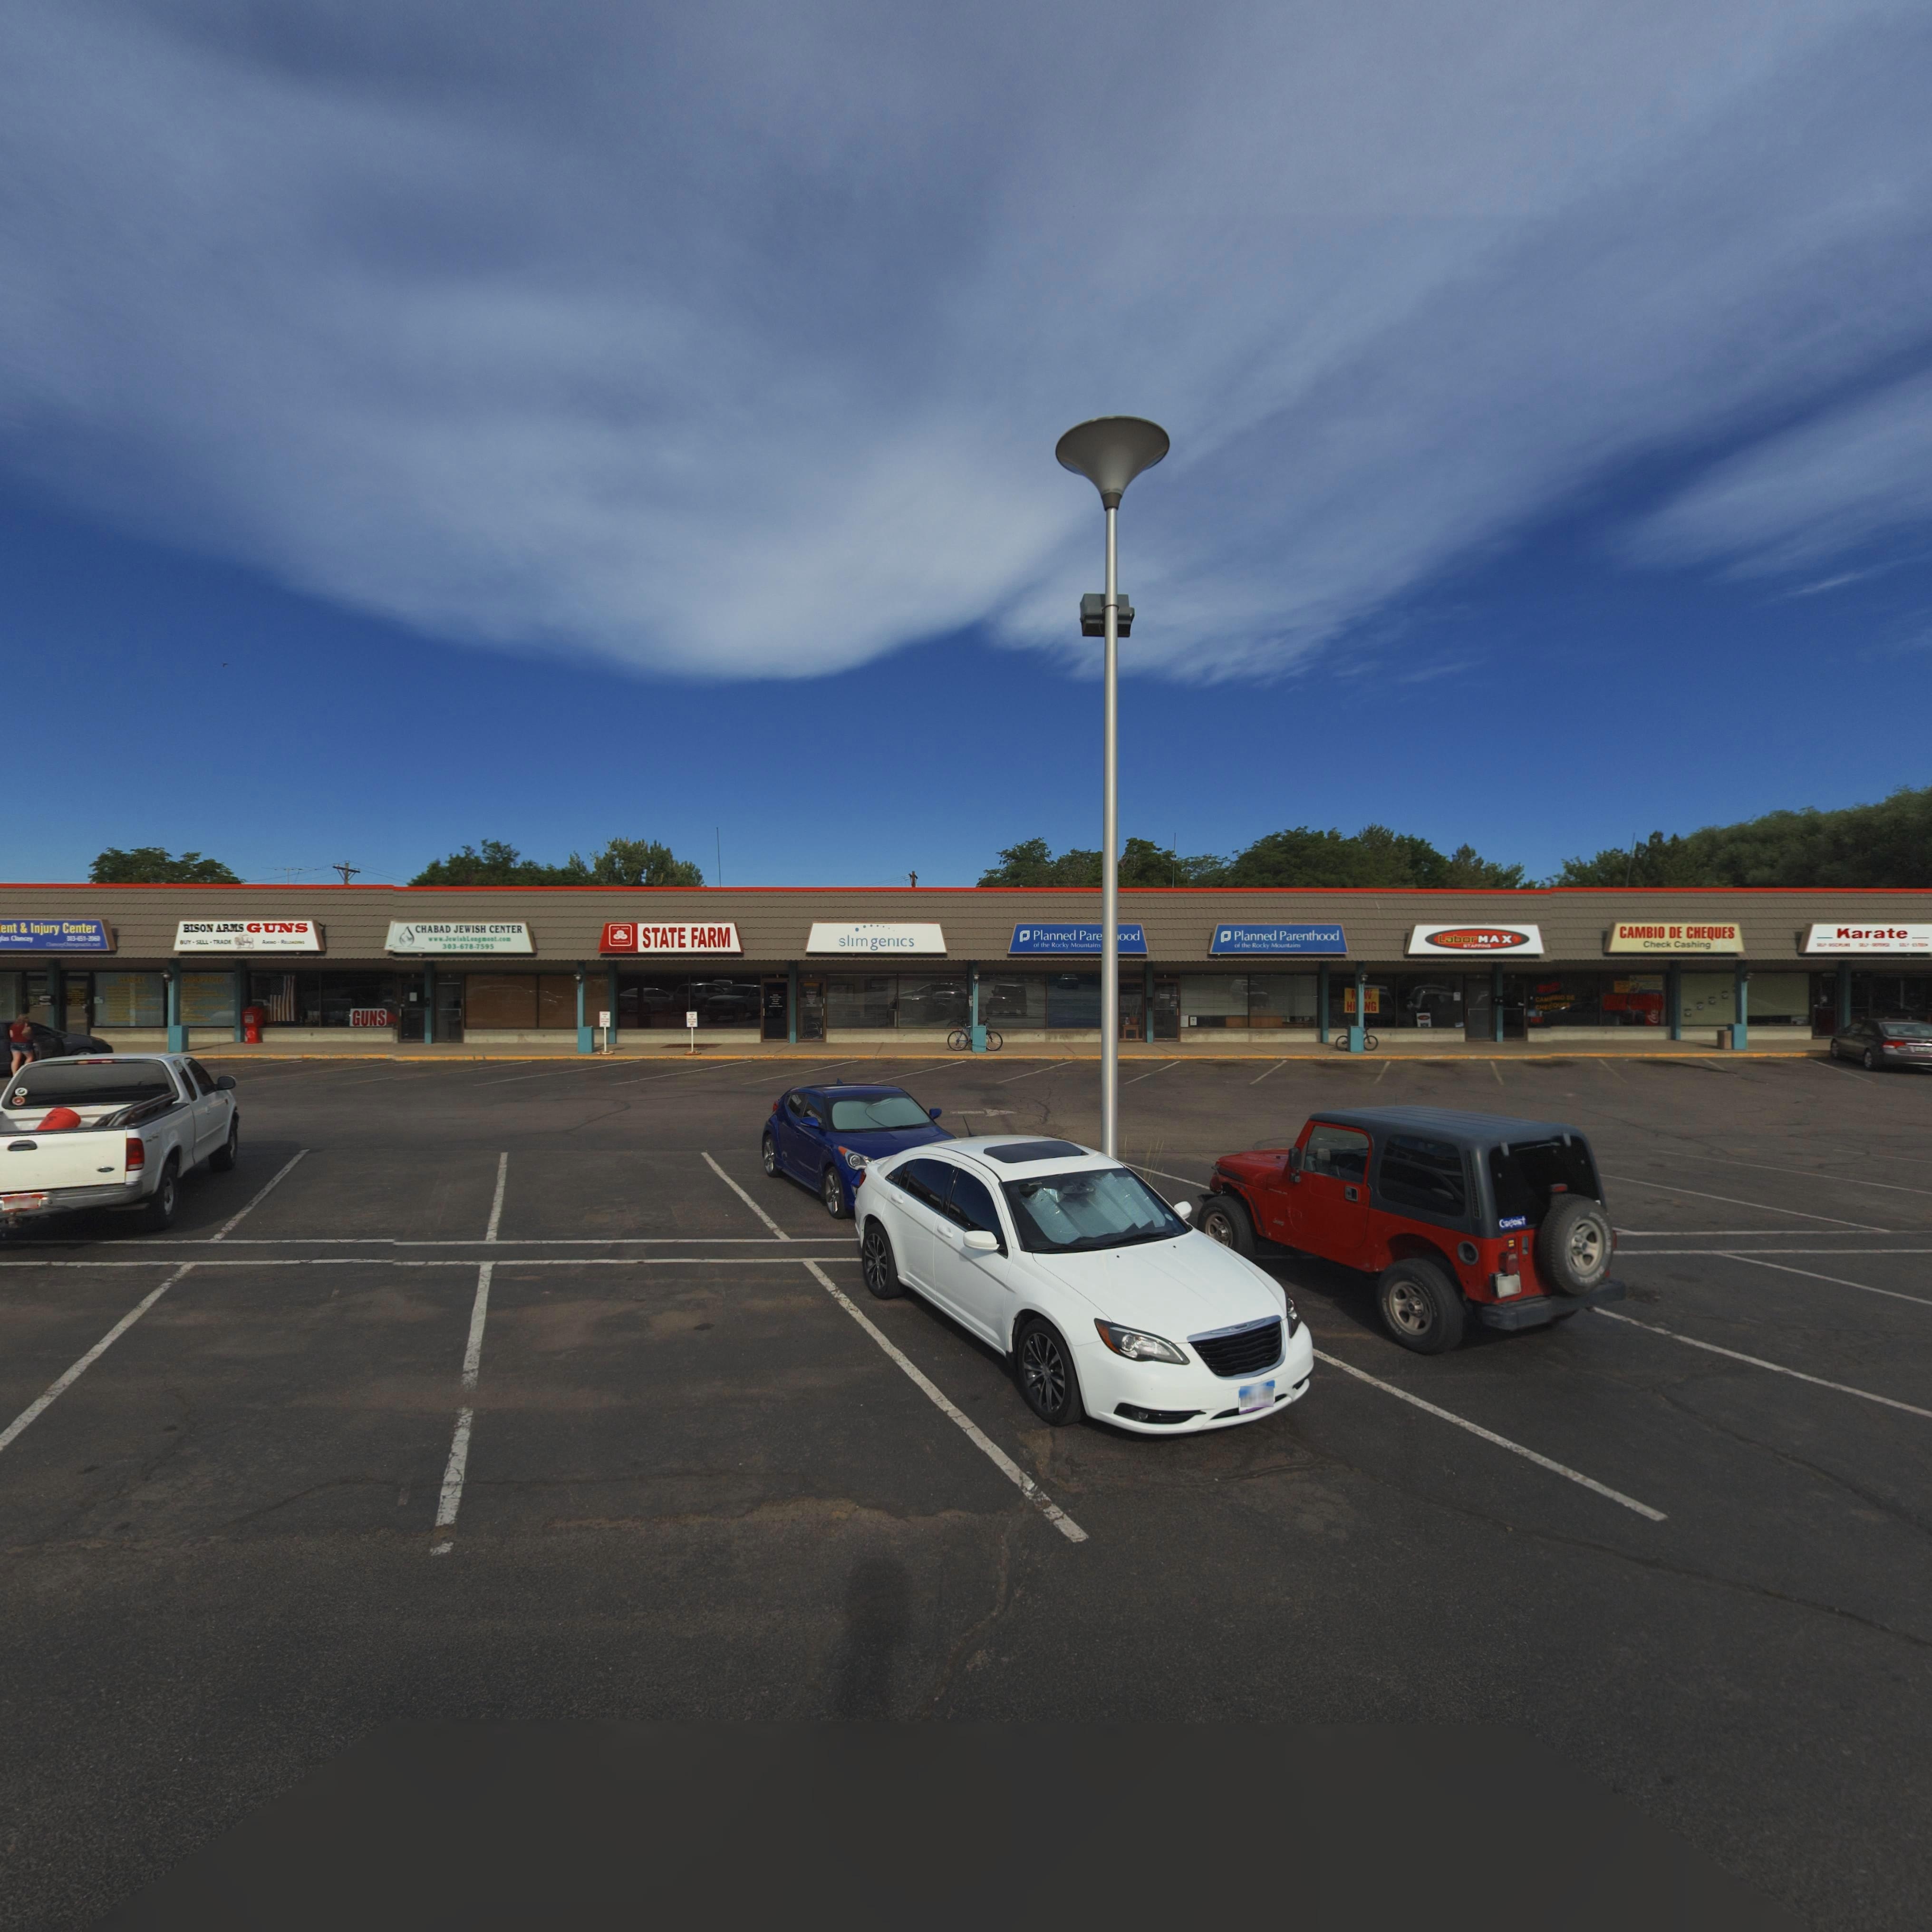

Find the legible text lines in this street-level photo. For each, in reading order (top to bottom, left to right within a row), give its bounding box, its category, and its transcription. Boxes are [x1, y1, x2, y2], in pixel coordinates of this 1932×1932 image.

[1, 922, 98, 936] BusinessName: ent * Injury Center
[182, 922, 309, 934] BusinessName: BISON ARMS GUNS
[414, 924, 522, 933] BusinessName: CHABAD JEWISH CENTER
[641, 927, 731, 948] BusinessName: STATE FARM
[838, 933, 914, 951] BusinessName: slimgenics
[1033, 929, 1140, 941] BusinessName: Planned Pare***ood
[1234, 929, 1339, 941] BusinessName: Planned Parenthood
[1438, 933, 1513, 944] BusinessName: LaborMAX
[1463, 943, 1491, 948] BusinessName: STAFFING
[1619, 925, 1735, 941] BusinessName: CAMBIO DE CHEQUES
[1535, 994, 1576, 1003] BusinessName: CA***IO DE
[1534, 1002, 1570, 1010] BusinessName: CHE*QUE*